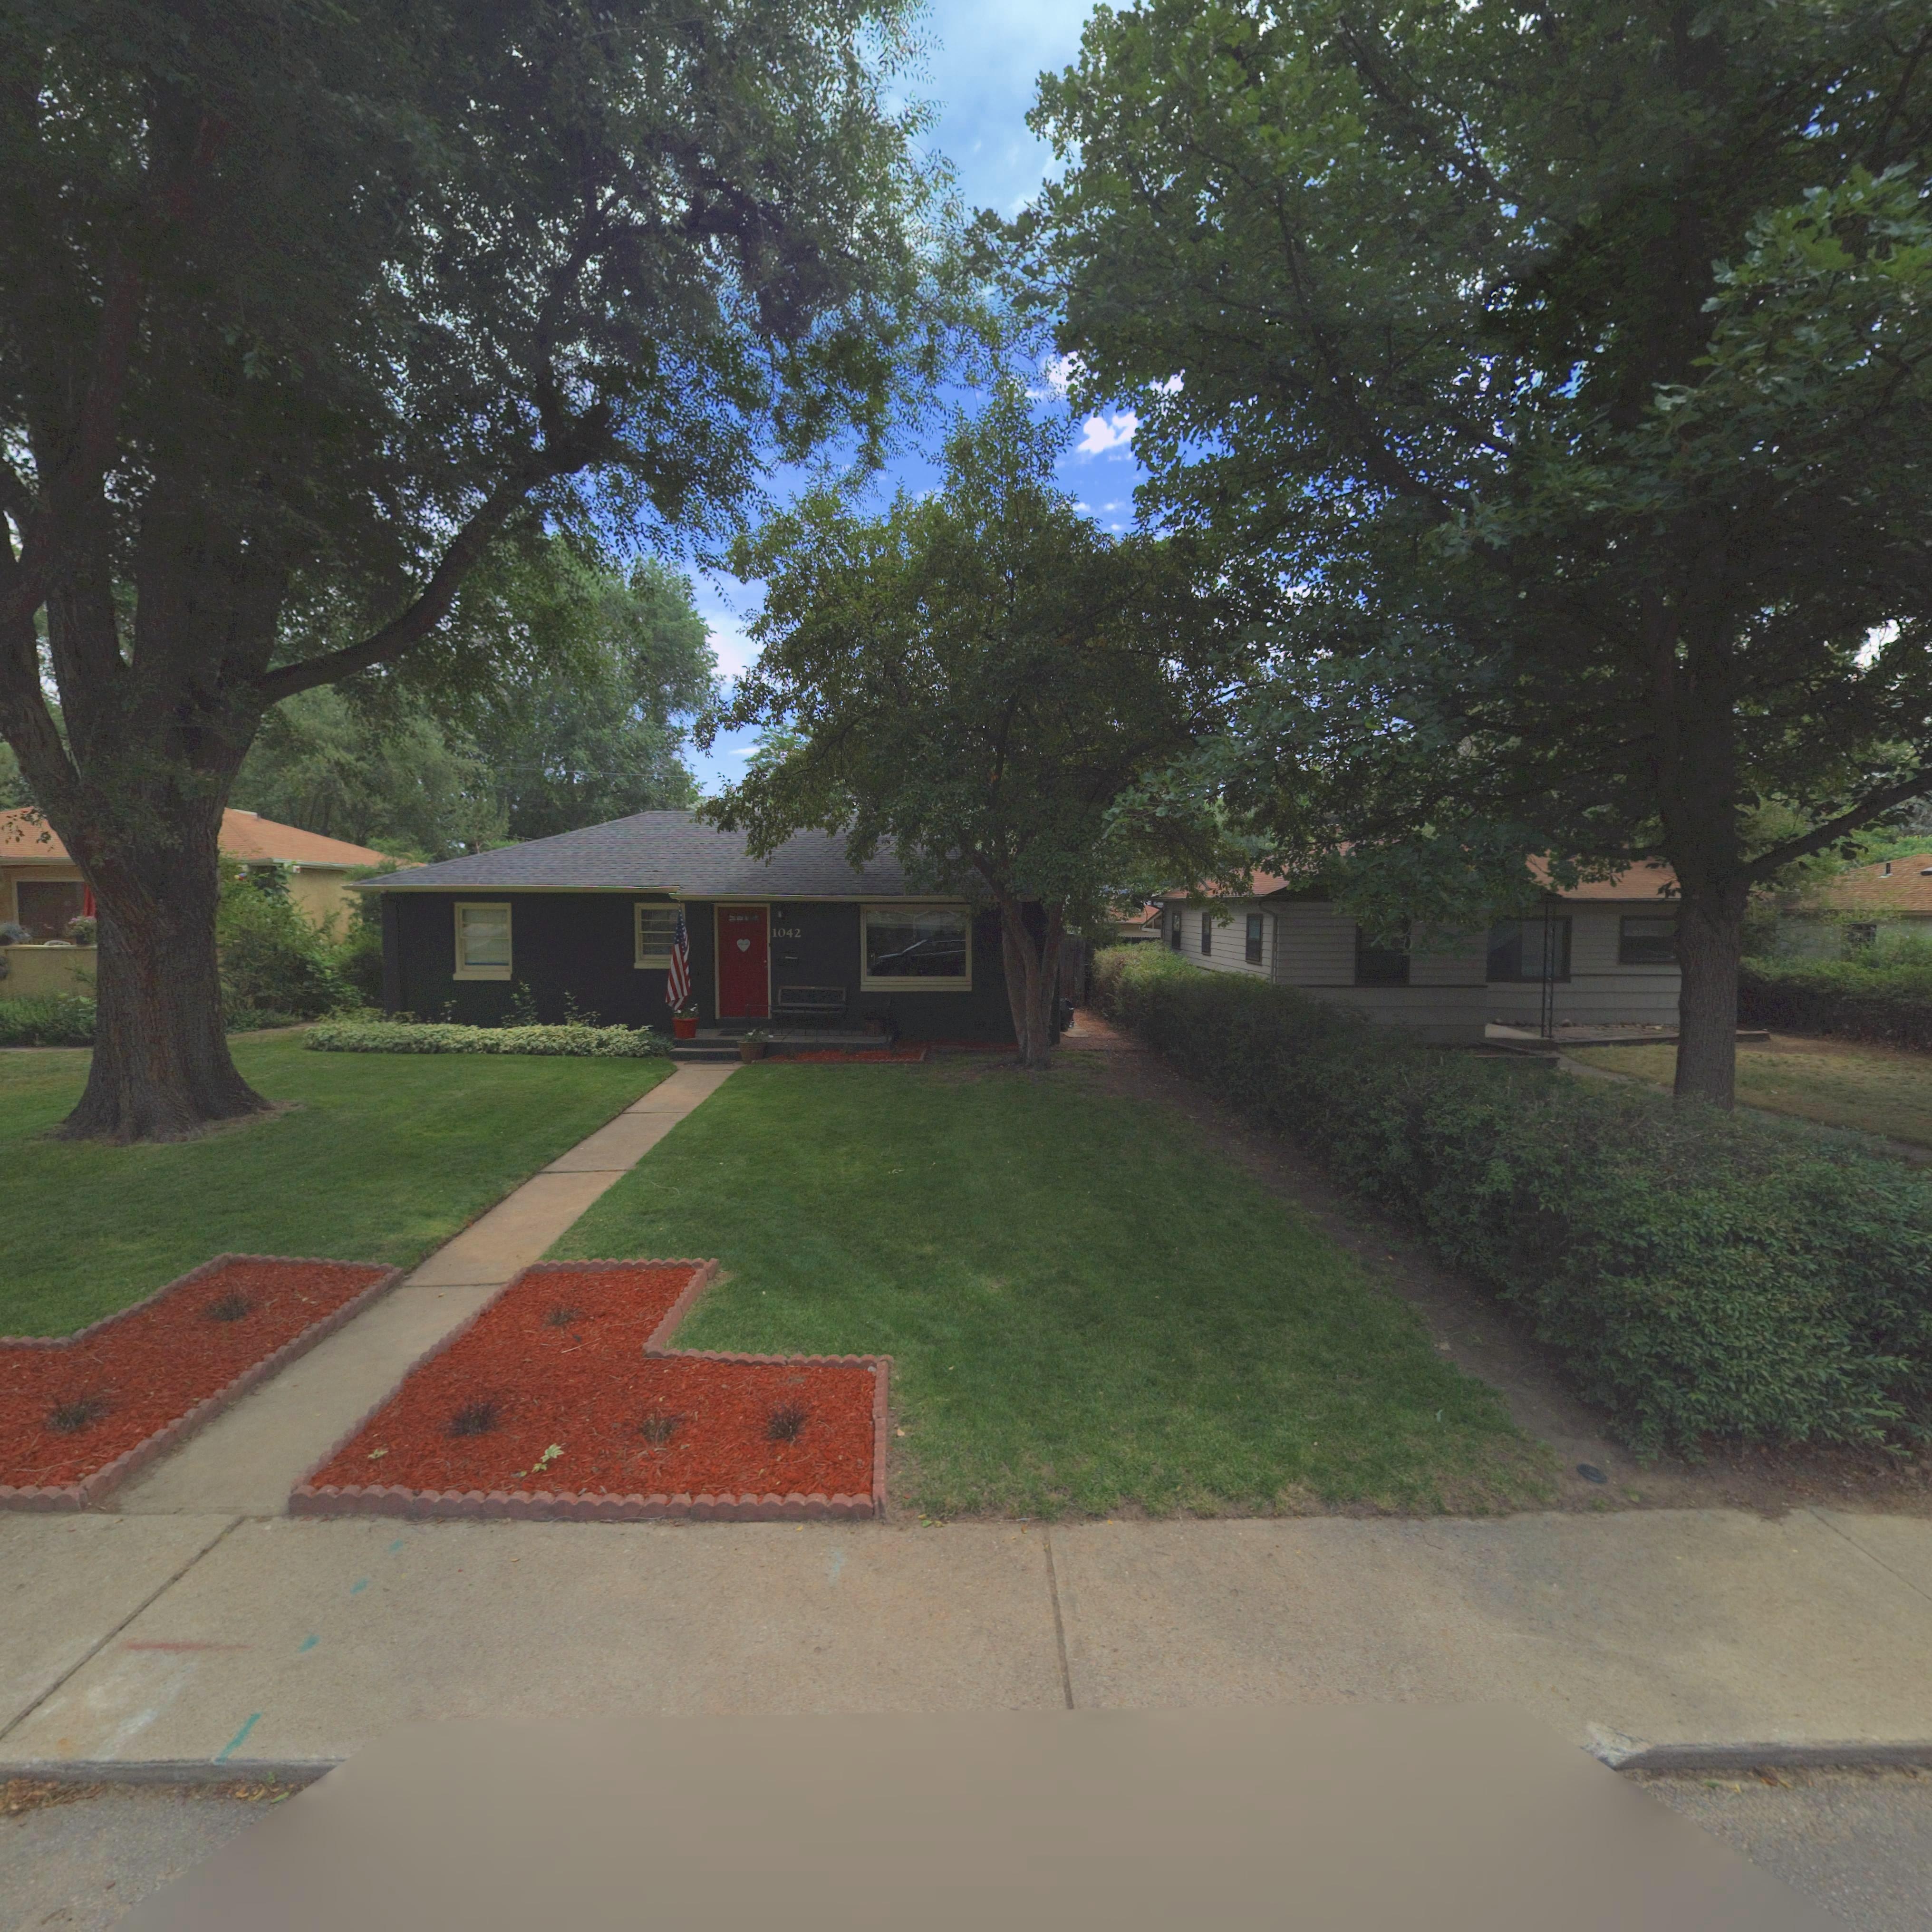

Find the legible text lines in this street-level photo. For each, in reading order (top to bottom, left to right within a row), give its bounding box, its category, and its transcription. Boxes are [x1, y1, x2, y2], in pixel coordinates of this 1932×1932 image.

[773, 928, 801, 937] StreetNumber: 1042